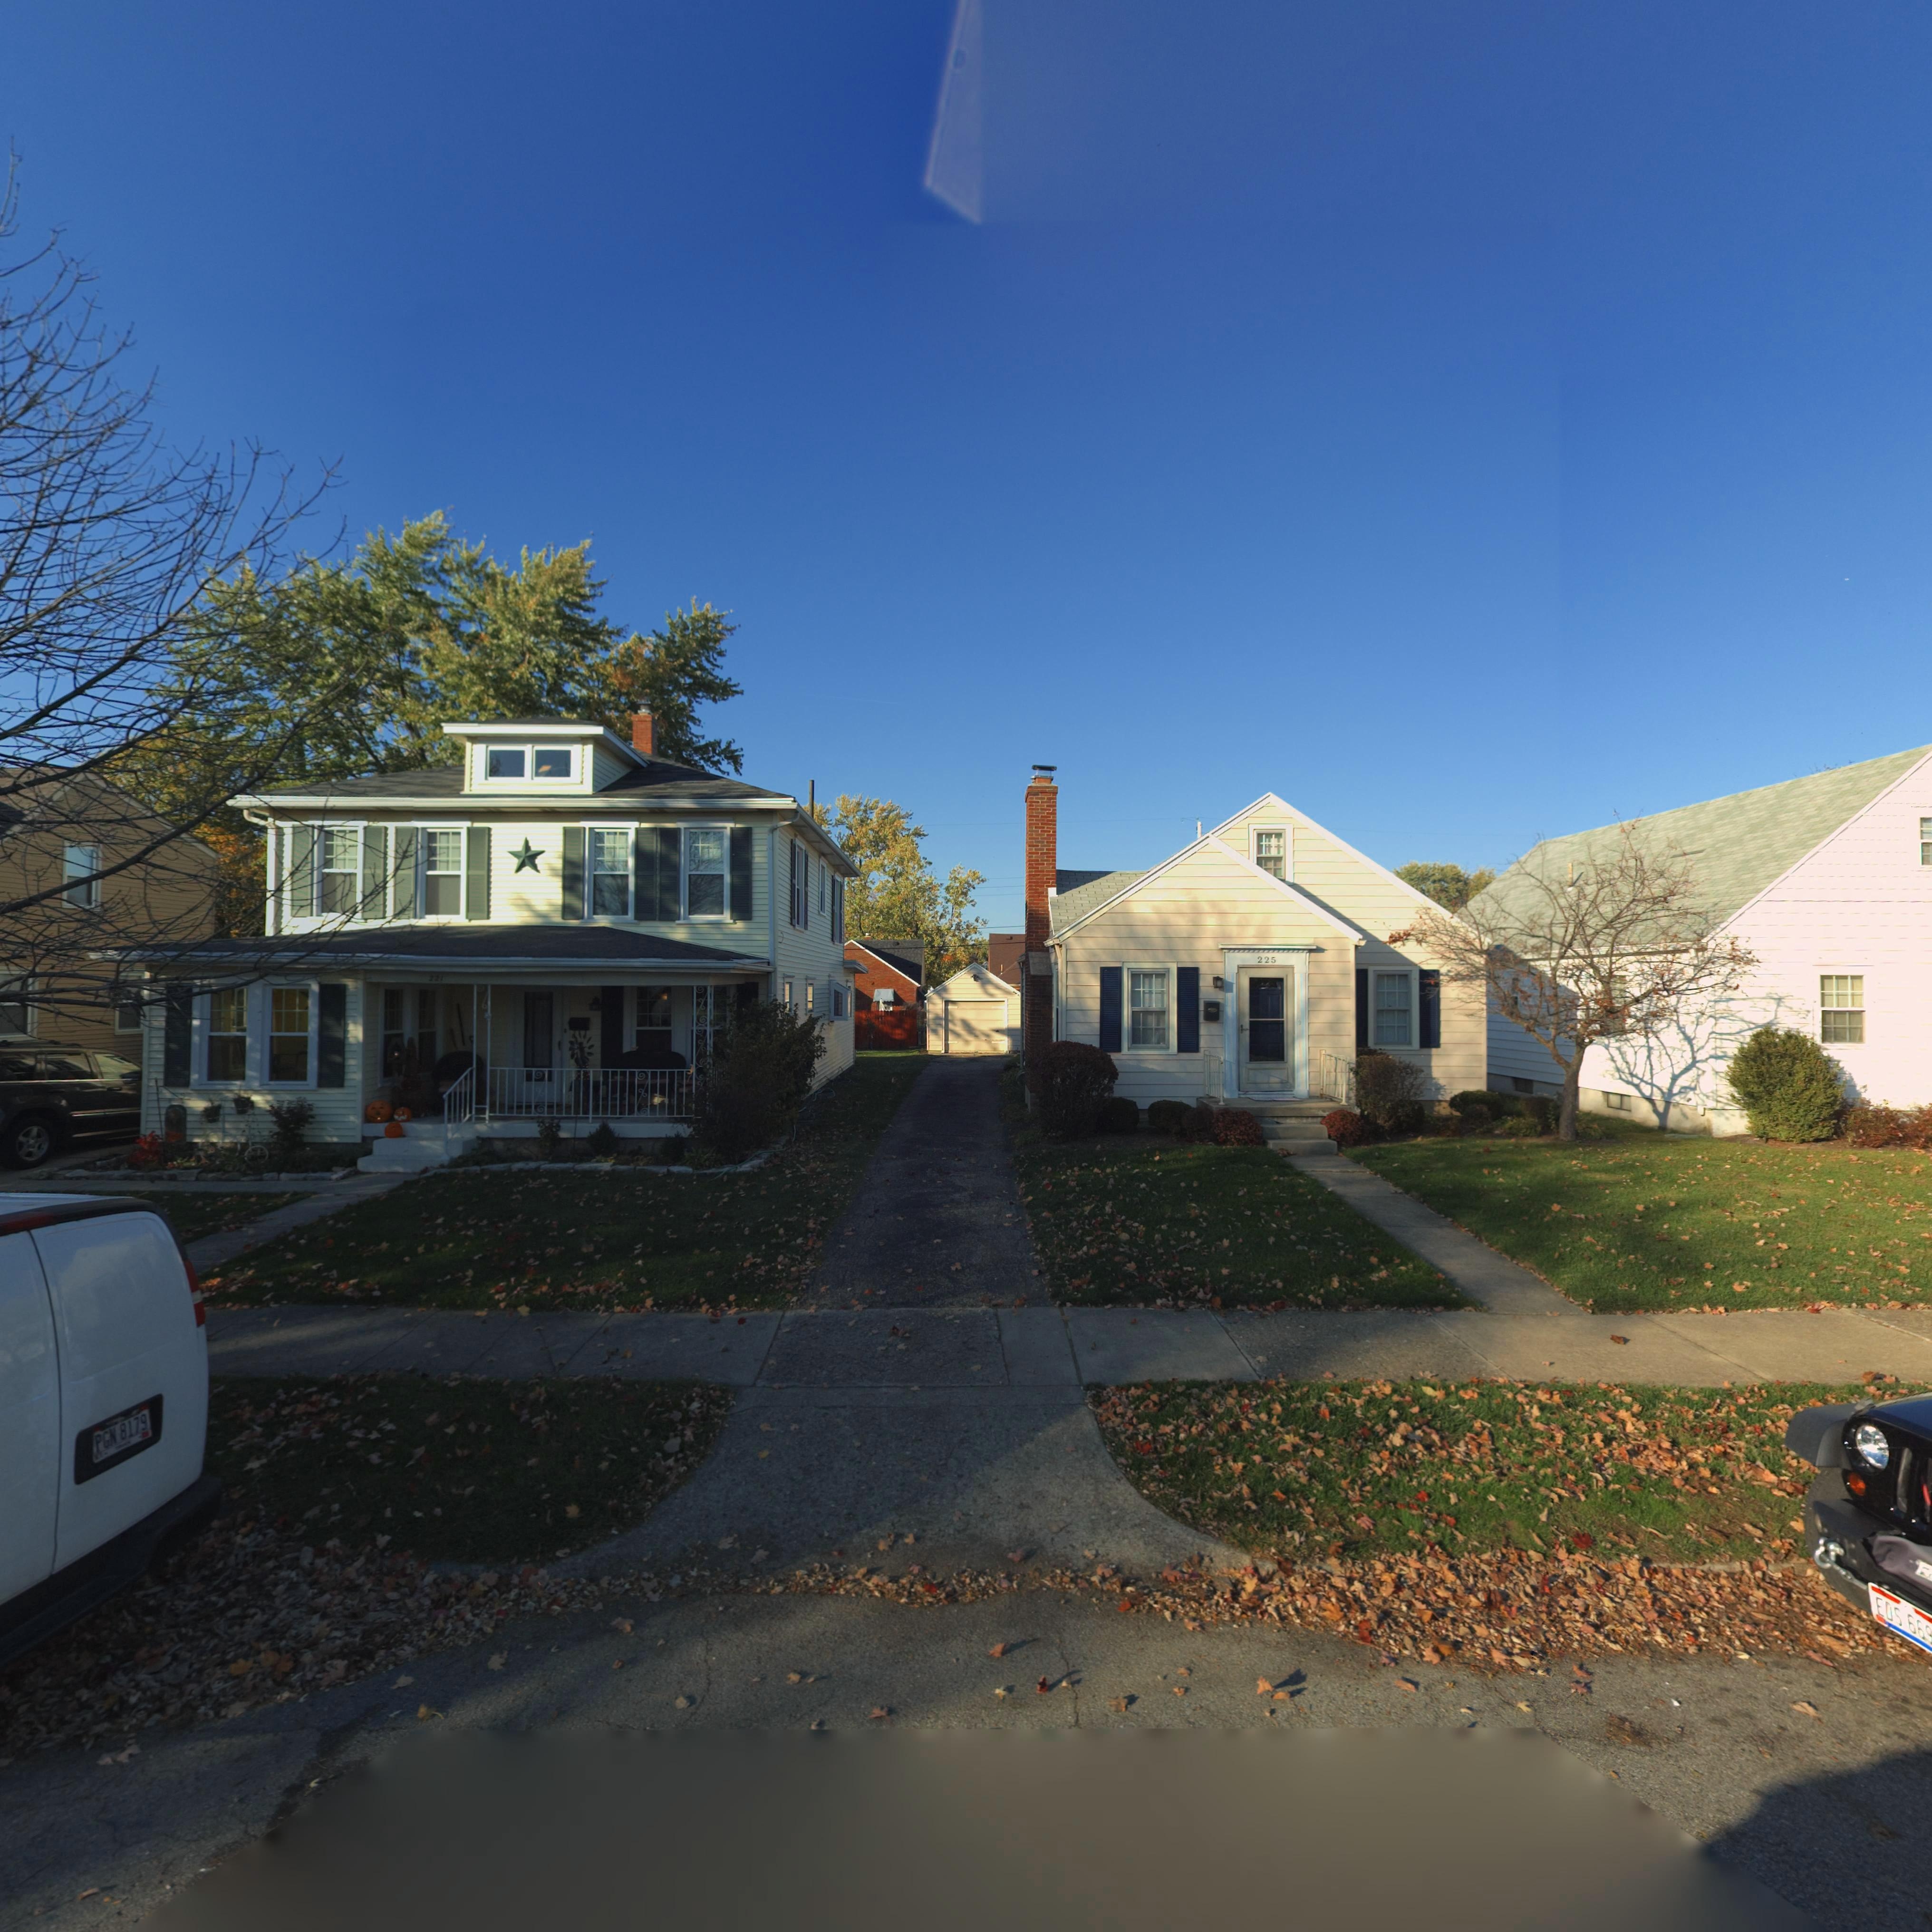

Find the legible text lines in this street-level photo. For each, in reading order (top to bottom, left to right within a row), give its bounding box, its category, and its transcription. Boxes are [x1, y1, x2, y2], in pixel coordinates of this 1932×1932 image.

[1256, 955, 1278, 965] StreetNumber: 225
[427, 974, 445, 983] StreetNumber: 221